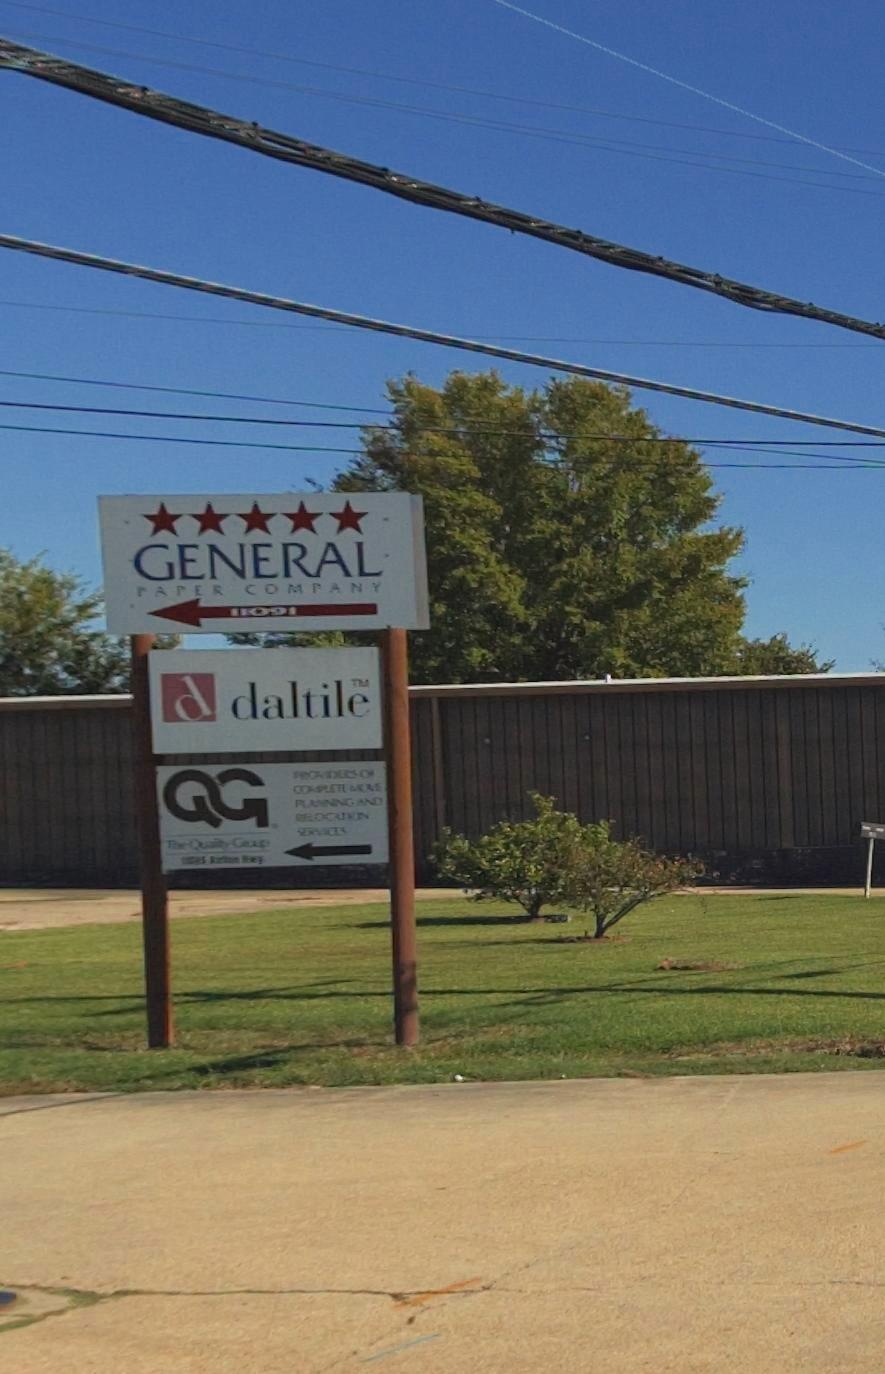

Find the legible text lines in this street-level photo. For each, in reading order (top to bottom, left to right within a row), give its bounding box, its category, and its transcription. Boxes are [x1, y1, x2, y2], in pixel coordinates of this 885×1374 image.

[130, 538, 386, 585] BusinessName: GENERAL
[134, 578, 386, 600] BusinessName: PAPER COMPANY
[227, 603, 300, 619] StreetNumber: 11091
[348, 676, 373, 692] None: TM
[170, 672, 219, 724] None: d
[227, 676, 375, 724] BusinessName: daltile
[157, 763, 282, 835] BusinessName: QG
[292, 794, 385, 811] None: PLANNING AND
[293, 808, 373, 824] None: RELOCATION
[294, 824, 350, 839] None: SERVICES
[163, 835, 273, 852] BusinessName: The Quality Group